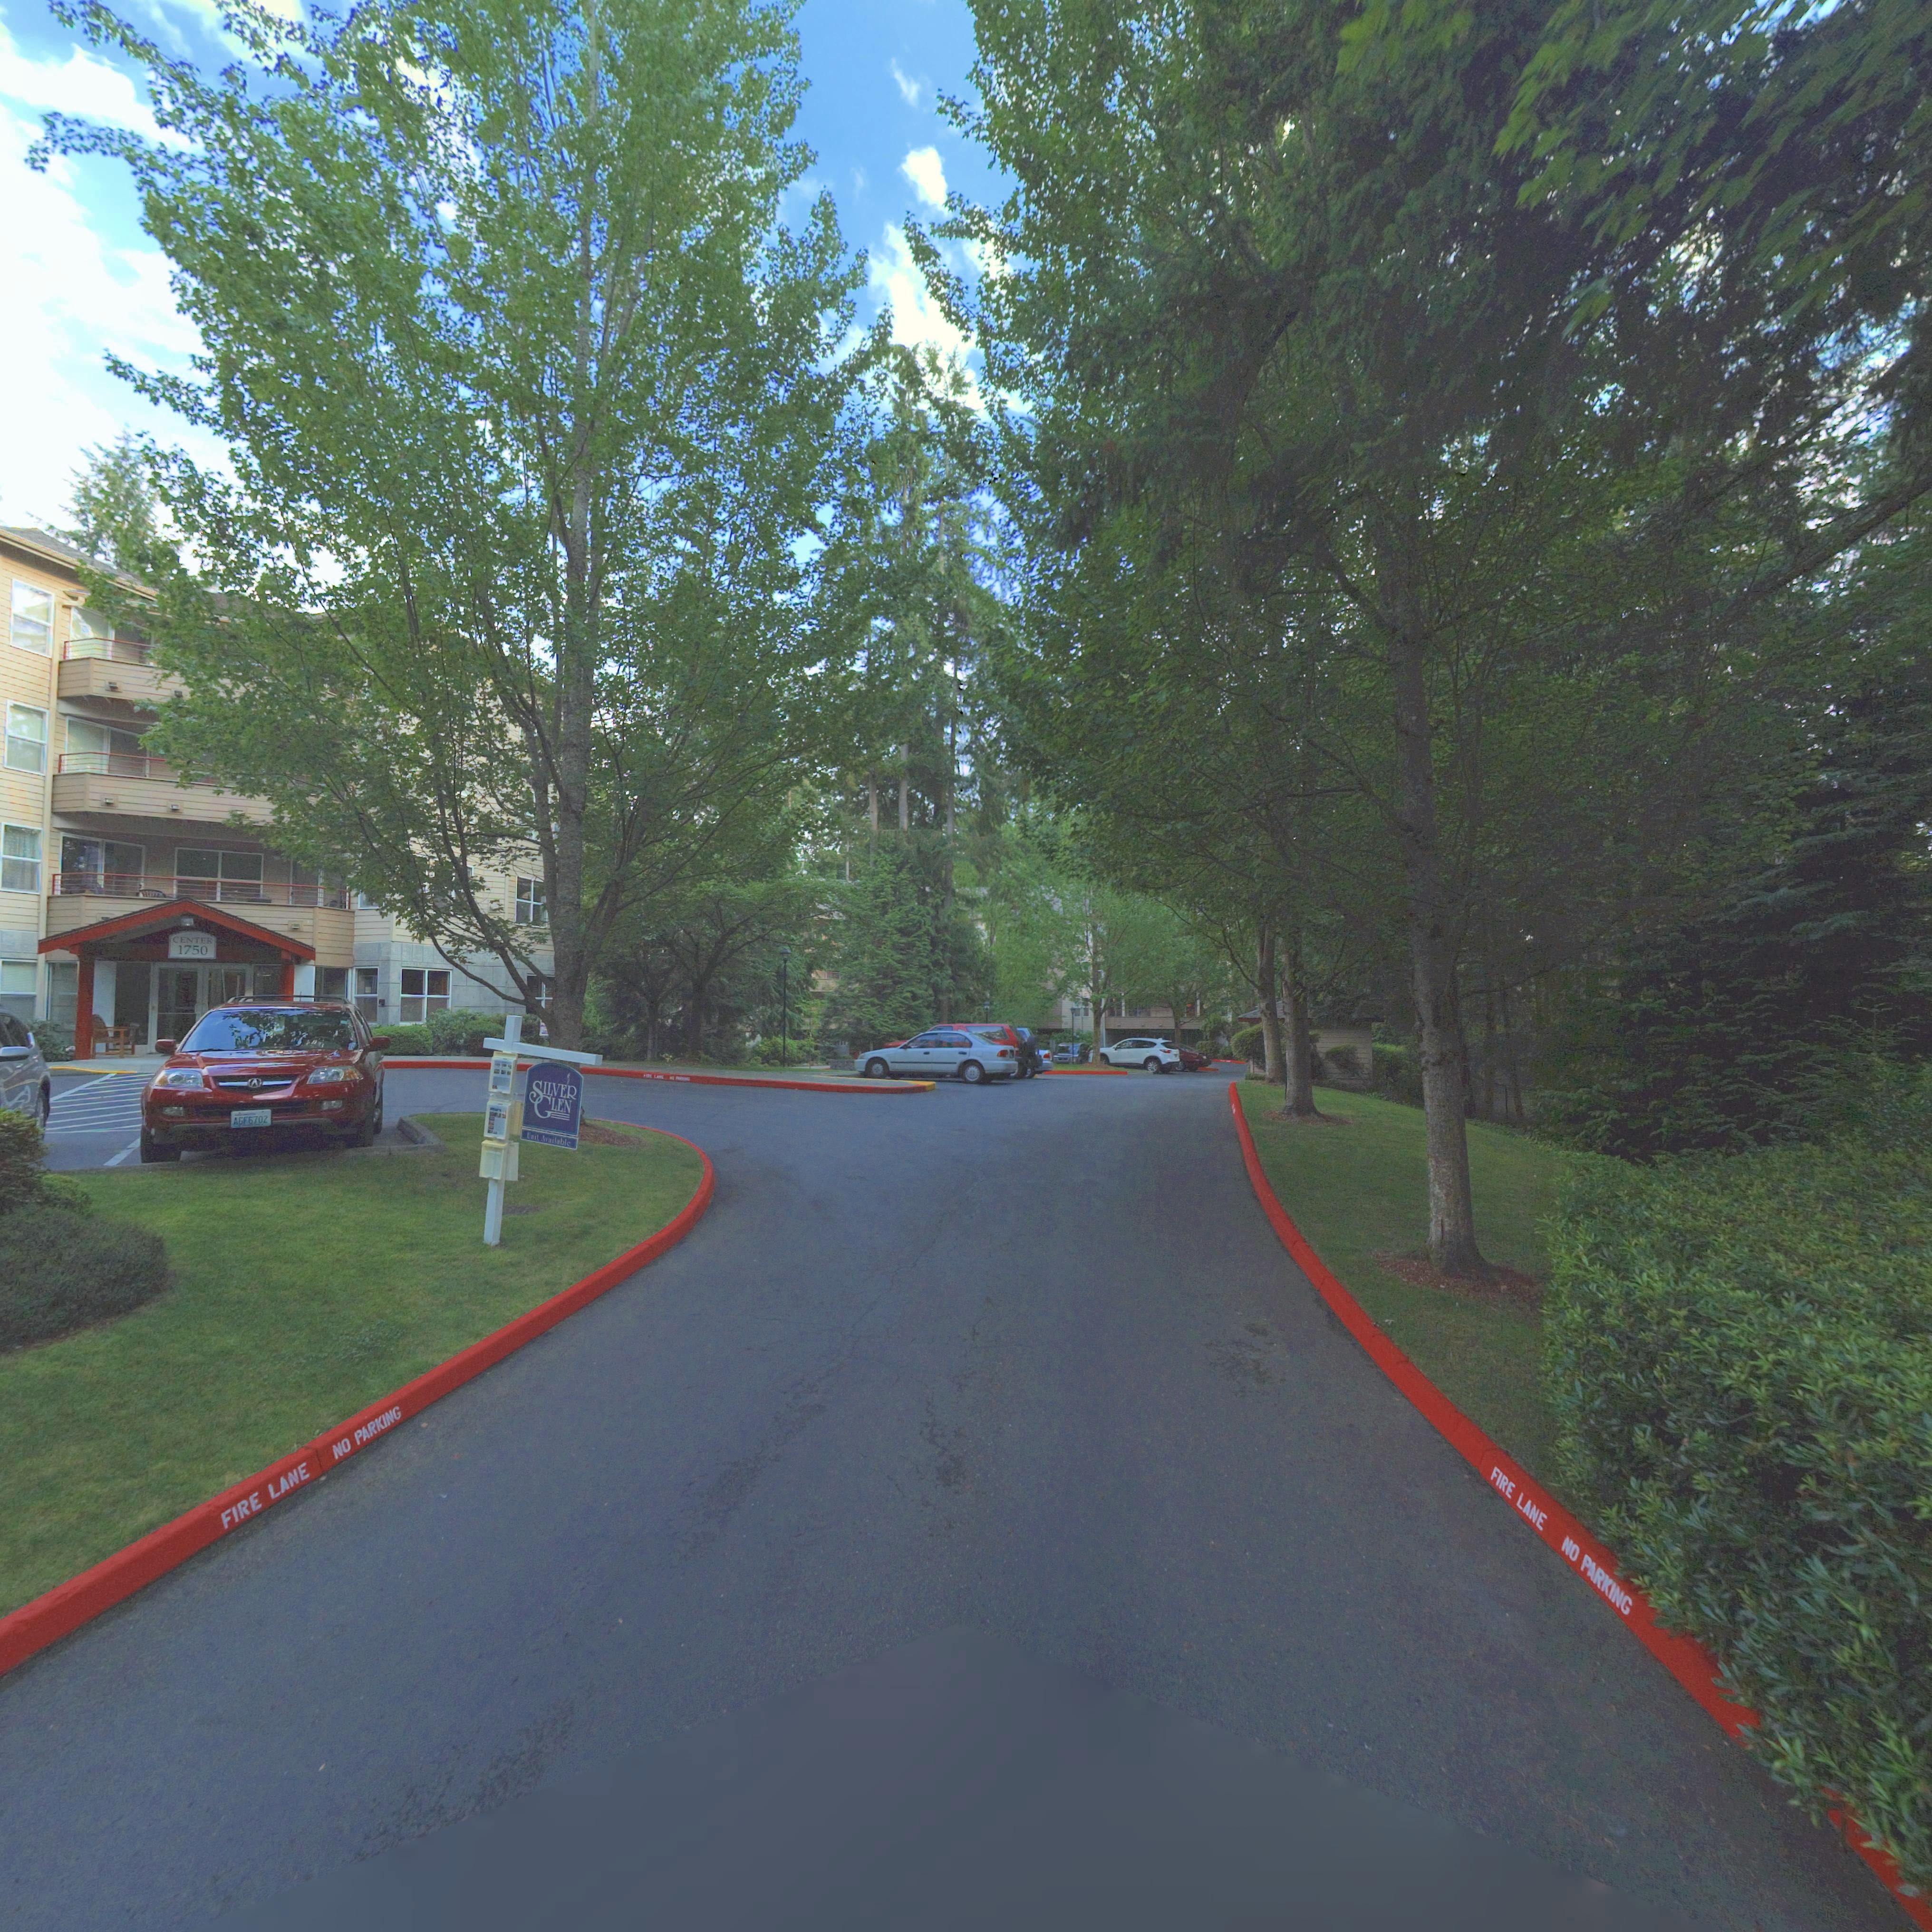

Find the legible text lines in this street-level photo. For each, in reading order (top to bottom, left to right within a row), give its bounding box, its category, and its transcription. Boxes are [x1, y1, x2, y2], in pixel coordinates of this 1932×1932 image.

[172, 936, 213, 945] SecondaryUnitDesignator: CENTER
[178, 944, 208, 955] StreetNumber: 1750
[526, 1078, 577, 1106] BusinessName: SILVER
[532, 1094, 573, 1122] BusinessName: GLEN